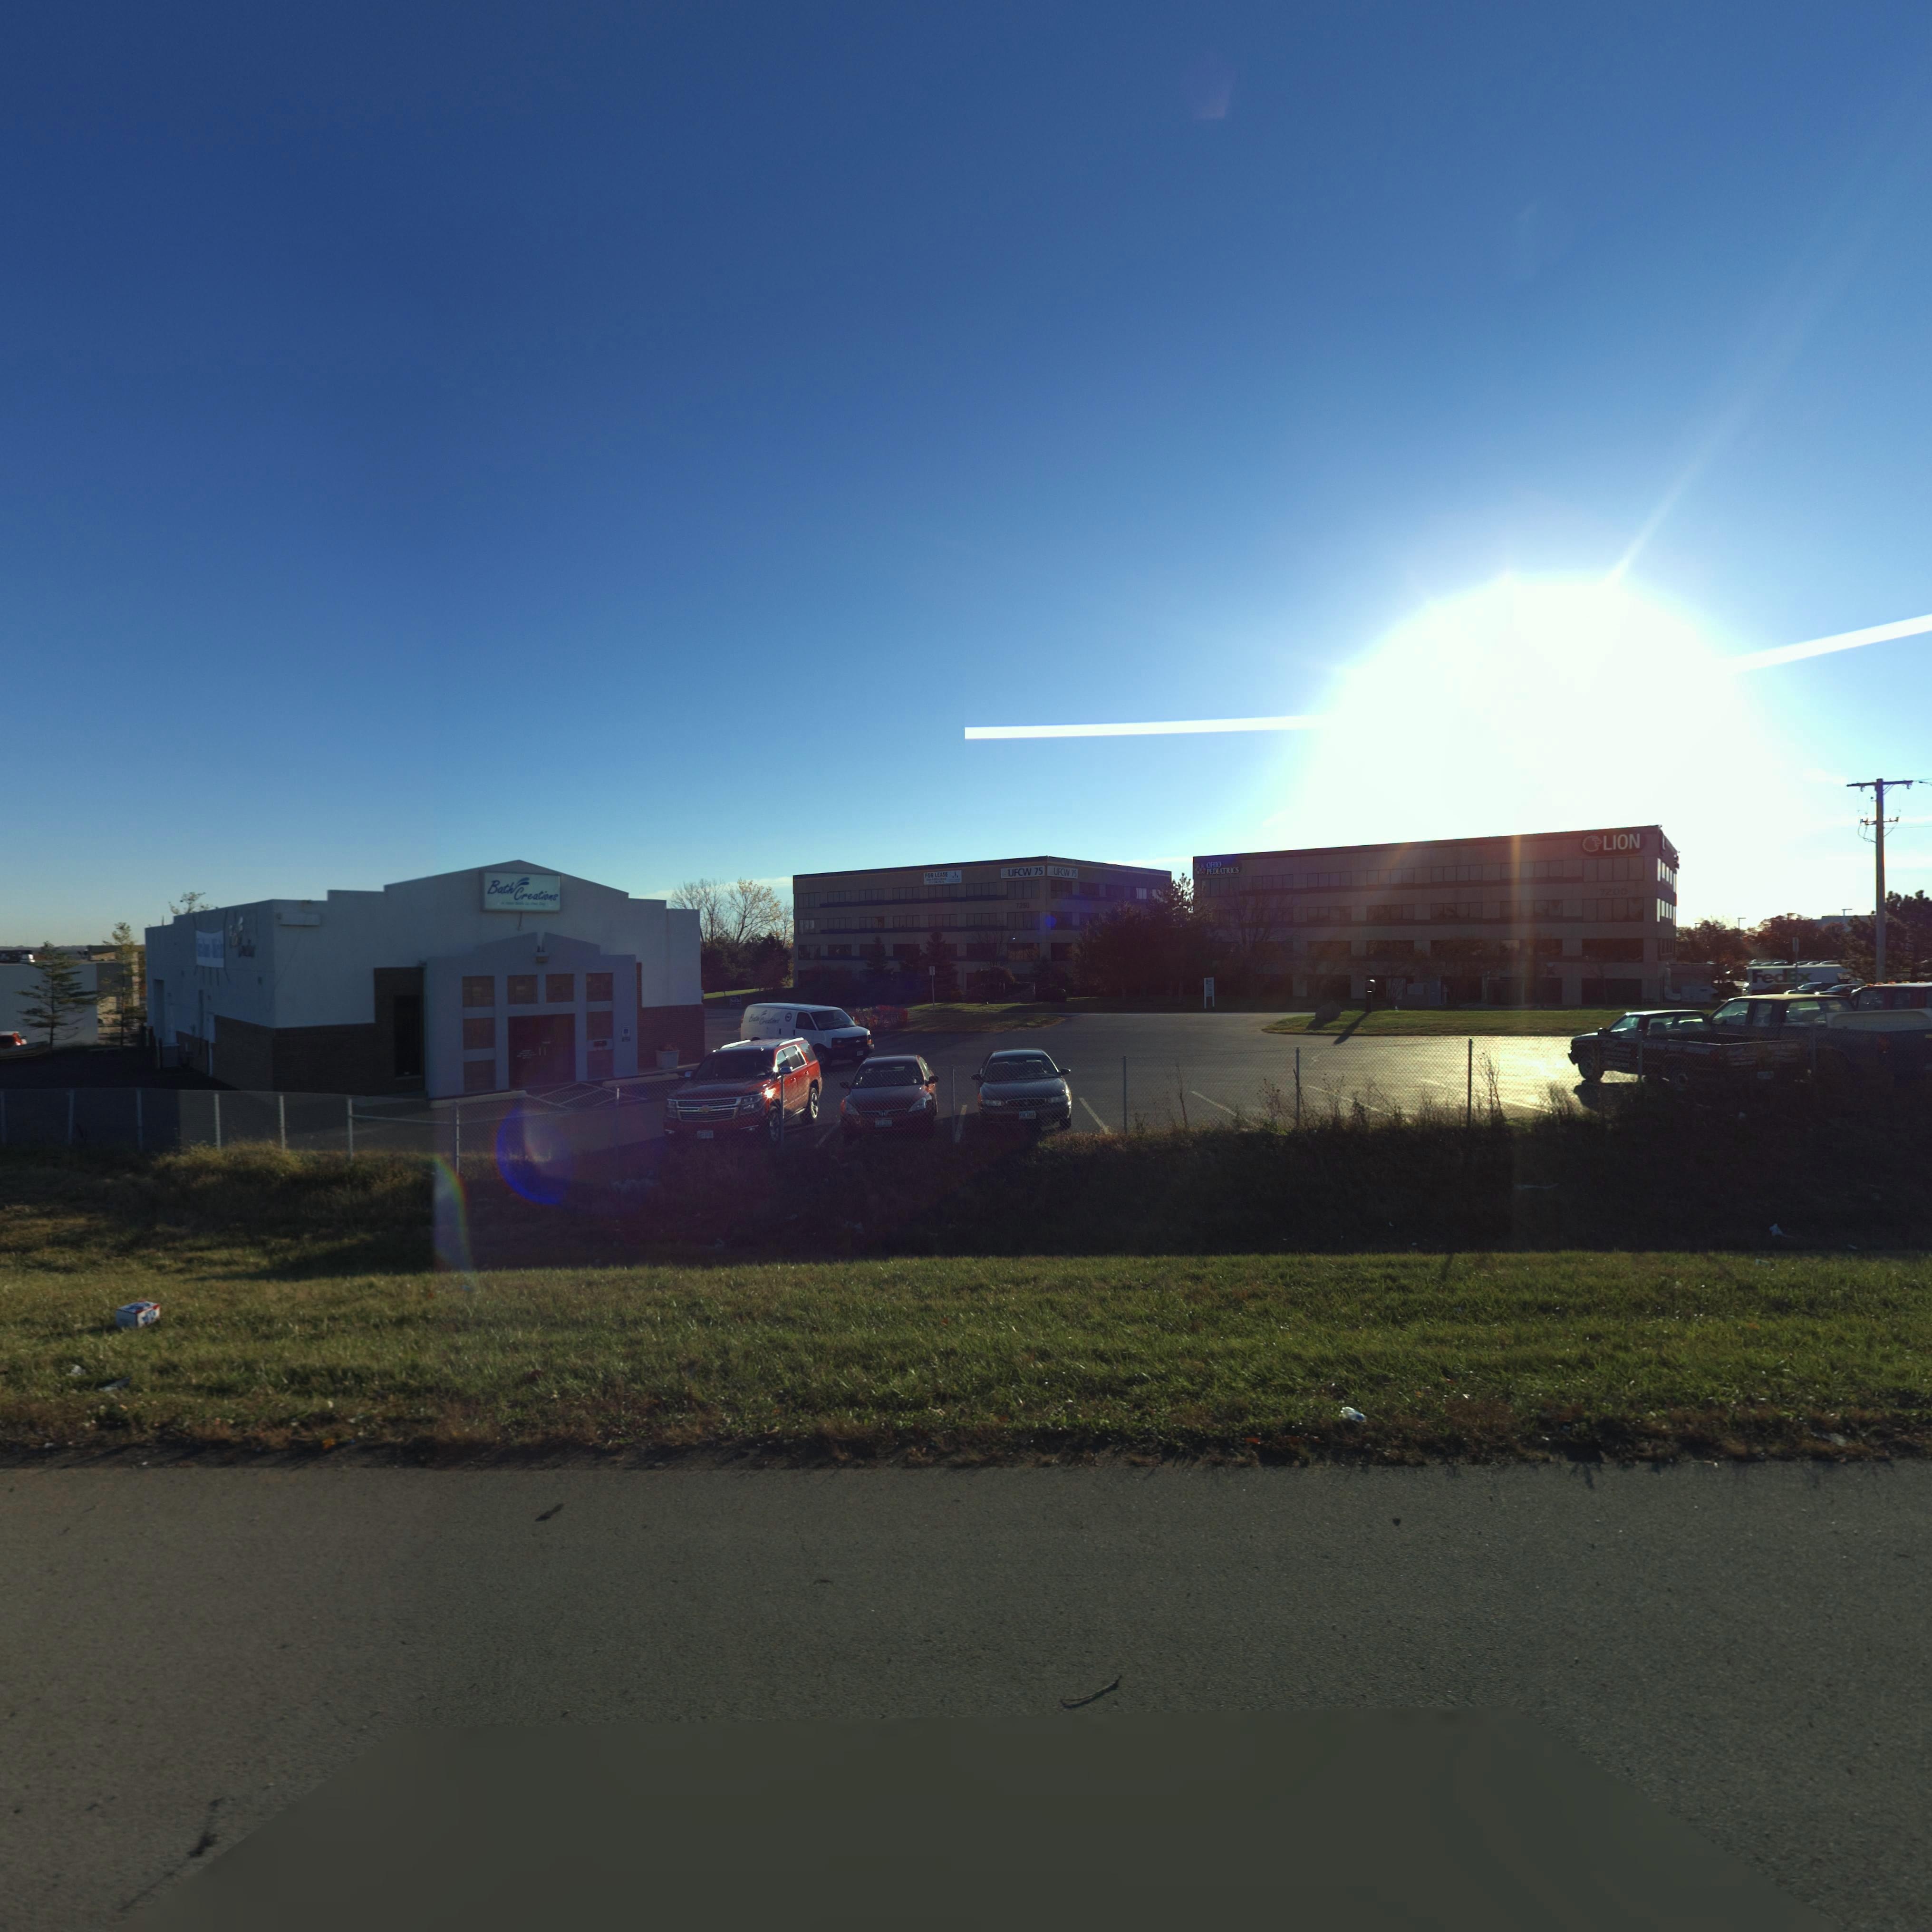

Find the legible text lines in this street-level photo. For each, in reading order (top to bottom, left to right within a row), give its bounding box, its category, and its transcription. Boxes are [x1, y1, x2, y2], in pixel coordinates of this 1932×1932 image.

[1603, 832, 1641, 852] BusinessName: LION
[1207, 860, 1222, 869] BusinessName: OHIO
[925, 871, 949, 879] None: FOR LEASE
[1006, 865, 1043, 878] BusinessName: UFCW 75
[1052, 867, 1079, 879] BusinessName: UFCW 75
[1206, 867, 1240, 876] BusinessName: PEDIATRICS
[485, 878, 563, 905] BusinessName: Bath Creations
[1597, 887, 1629, 898] StreetNumber: 7200
[1015, 901, 1031, 910] StreetNumber: 7250
[747, 1012, 783, 1026] None: Bath Creations